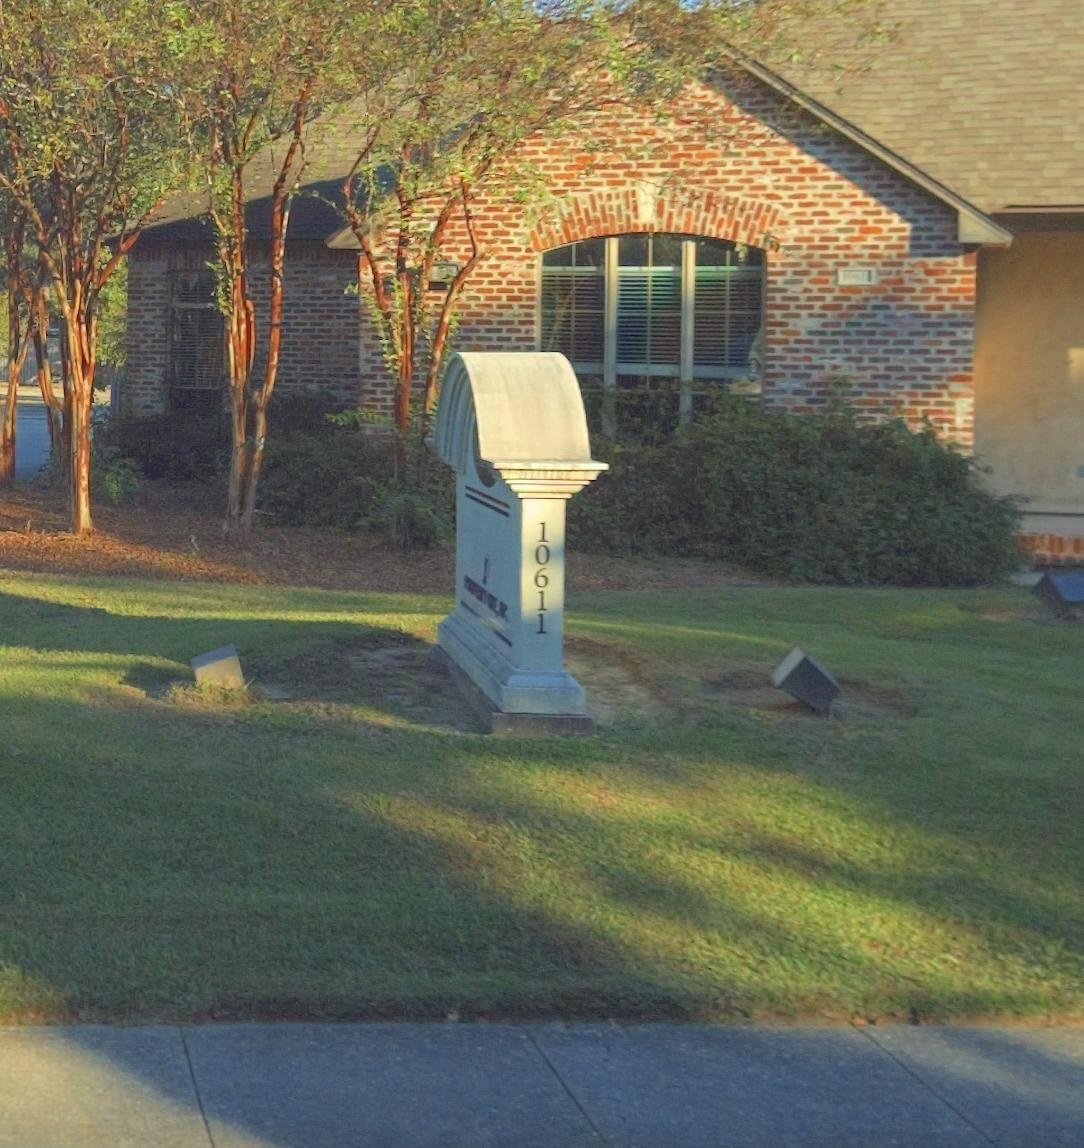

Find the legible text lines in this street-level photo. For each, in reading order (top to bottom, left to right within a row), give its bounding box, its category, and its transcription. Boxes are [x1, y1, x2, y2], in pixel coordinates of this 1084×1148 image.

[532, 519, 553, 637] StreetNumber: 10611